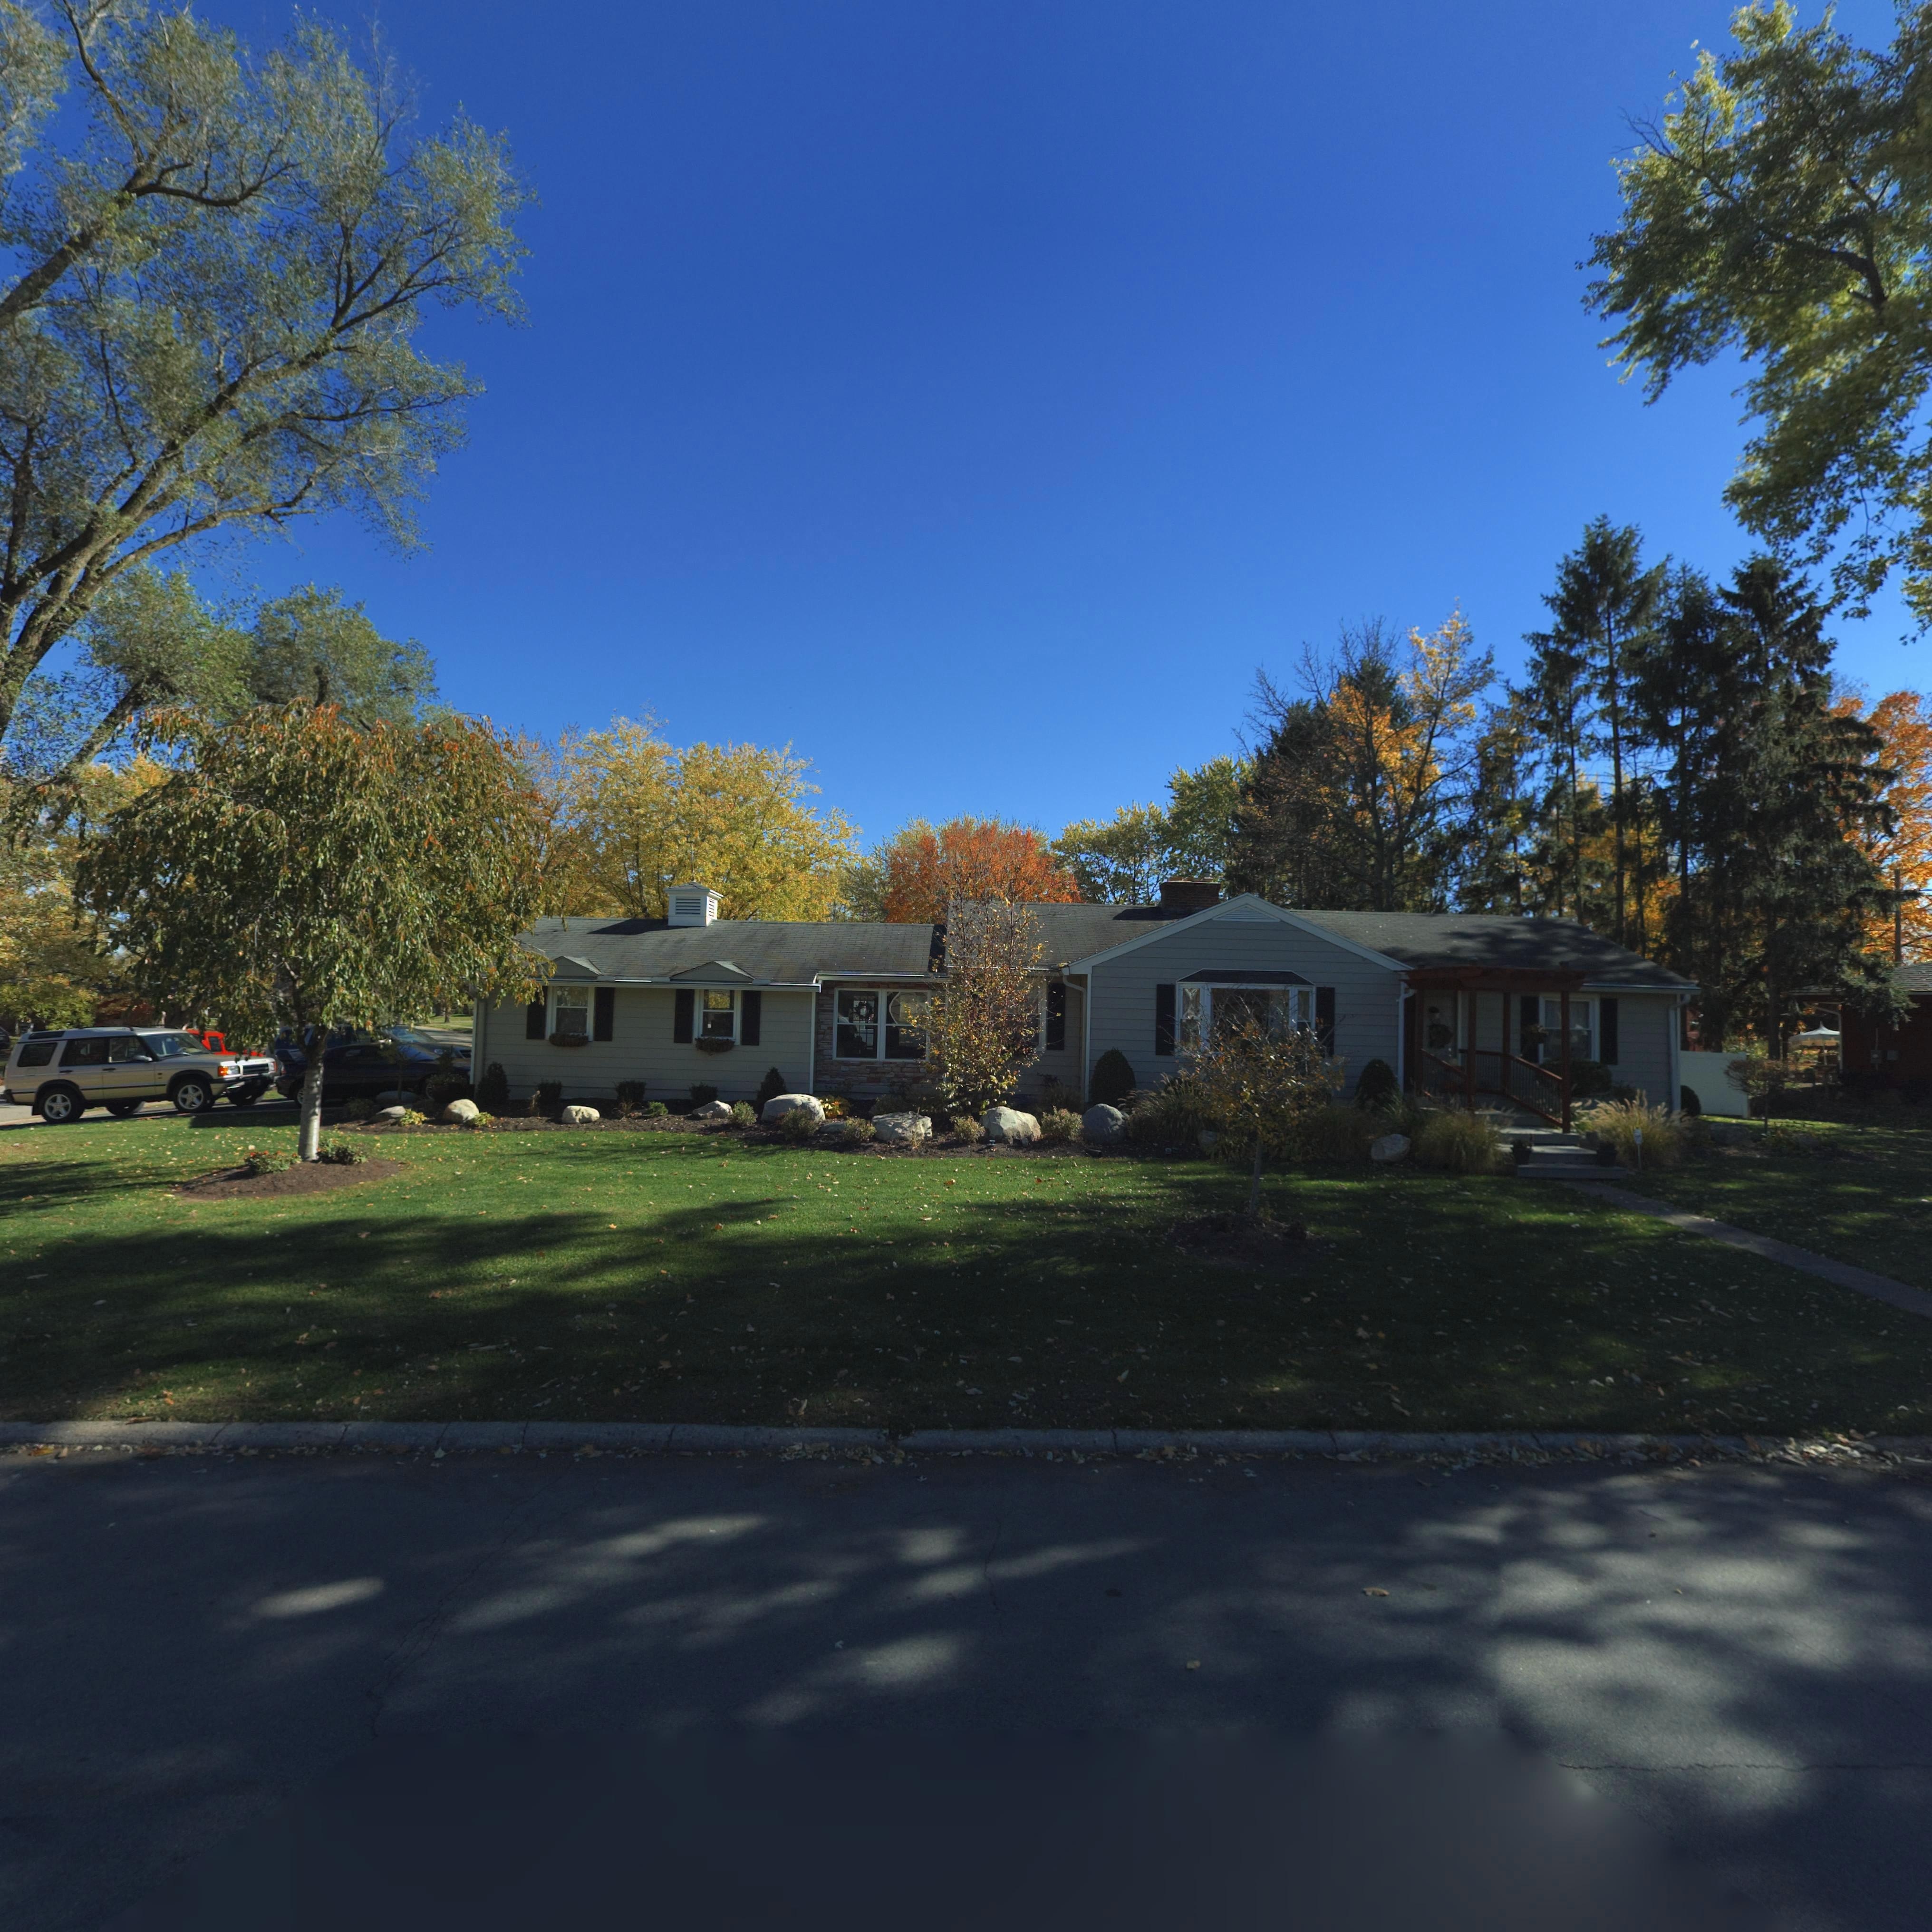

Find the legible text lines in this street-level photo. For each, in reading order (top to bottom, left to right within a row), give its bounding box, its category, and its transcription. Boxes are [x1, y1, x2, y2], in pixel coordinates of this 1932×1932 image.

[1428, 1017, 1441, 1024] StreetNumber: *00